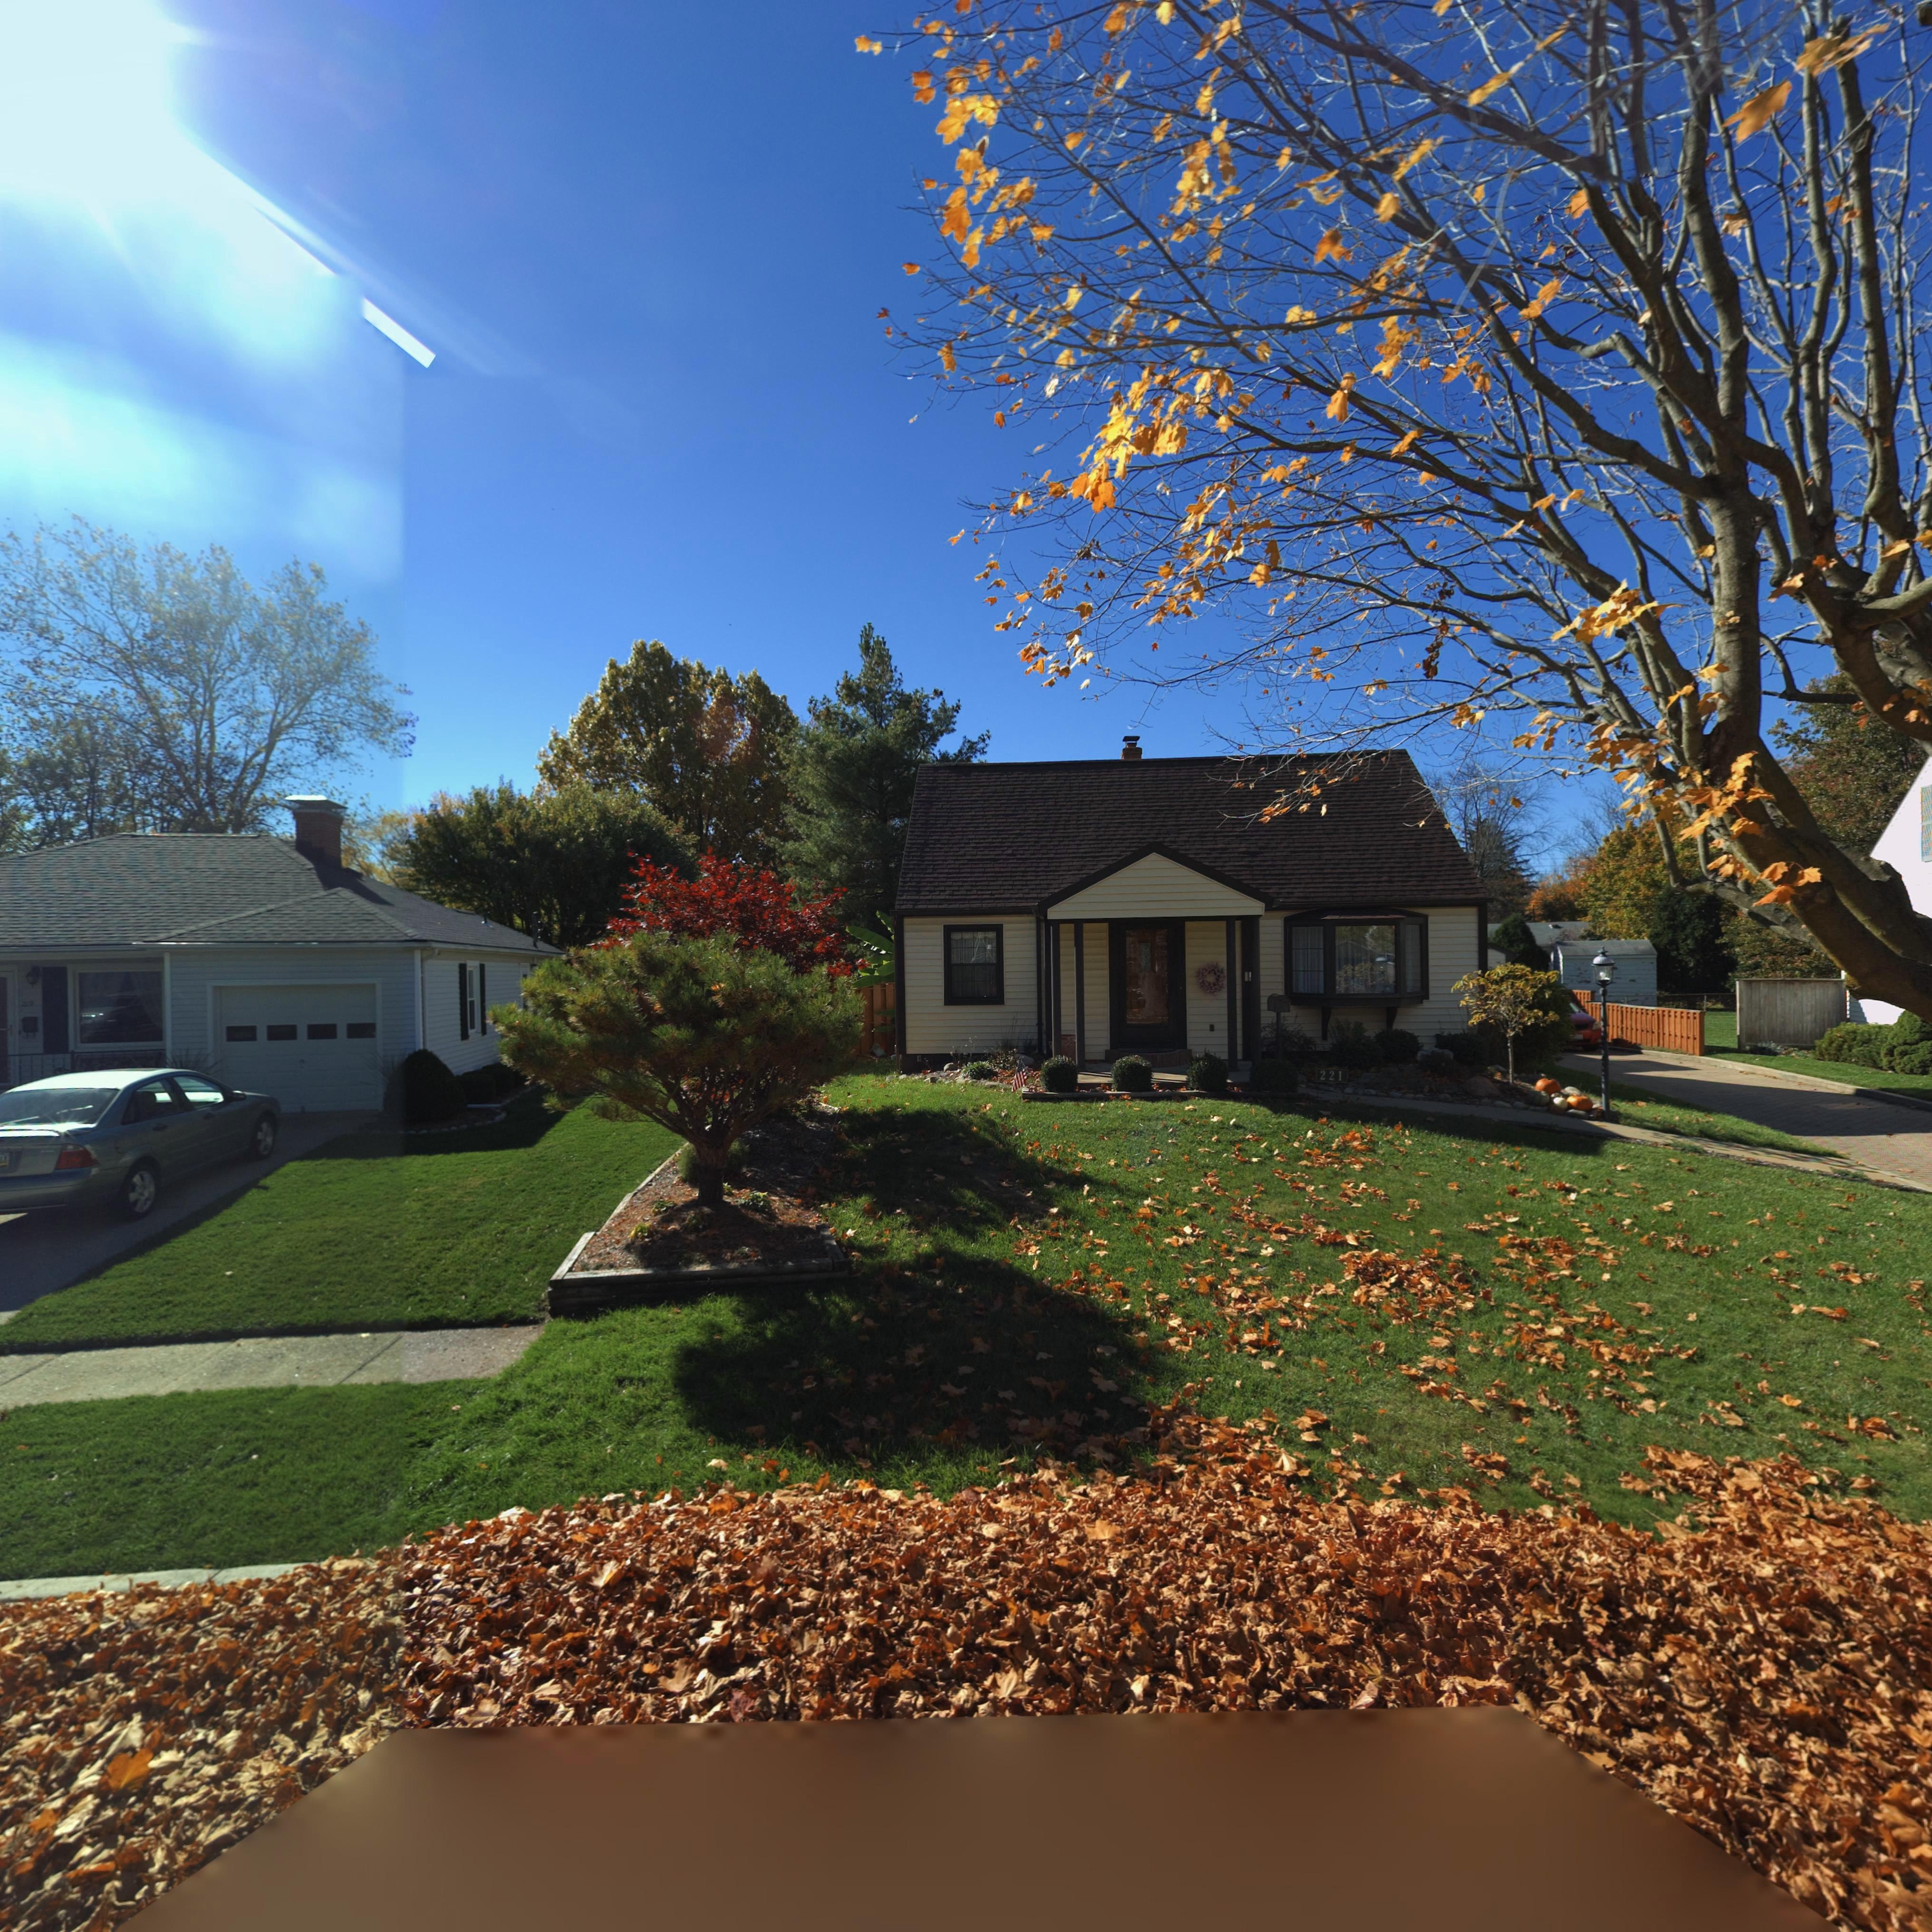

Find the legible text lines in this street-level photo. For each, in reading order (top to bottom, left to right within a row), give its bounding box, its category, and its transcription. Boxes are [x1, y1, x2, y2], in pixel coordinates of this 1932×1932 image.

[1319, 1069, 1343, 1082] StreetNumber: 221